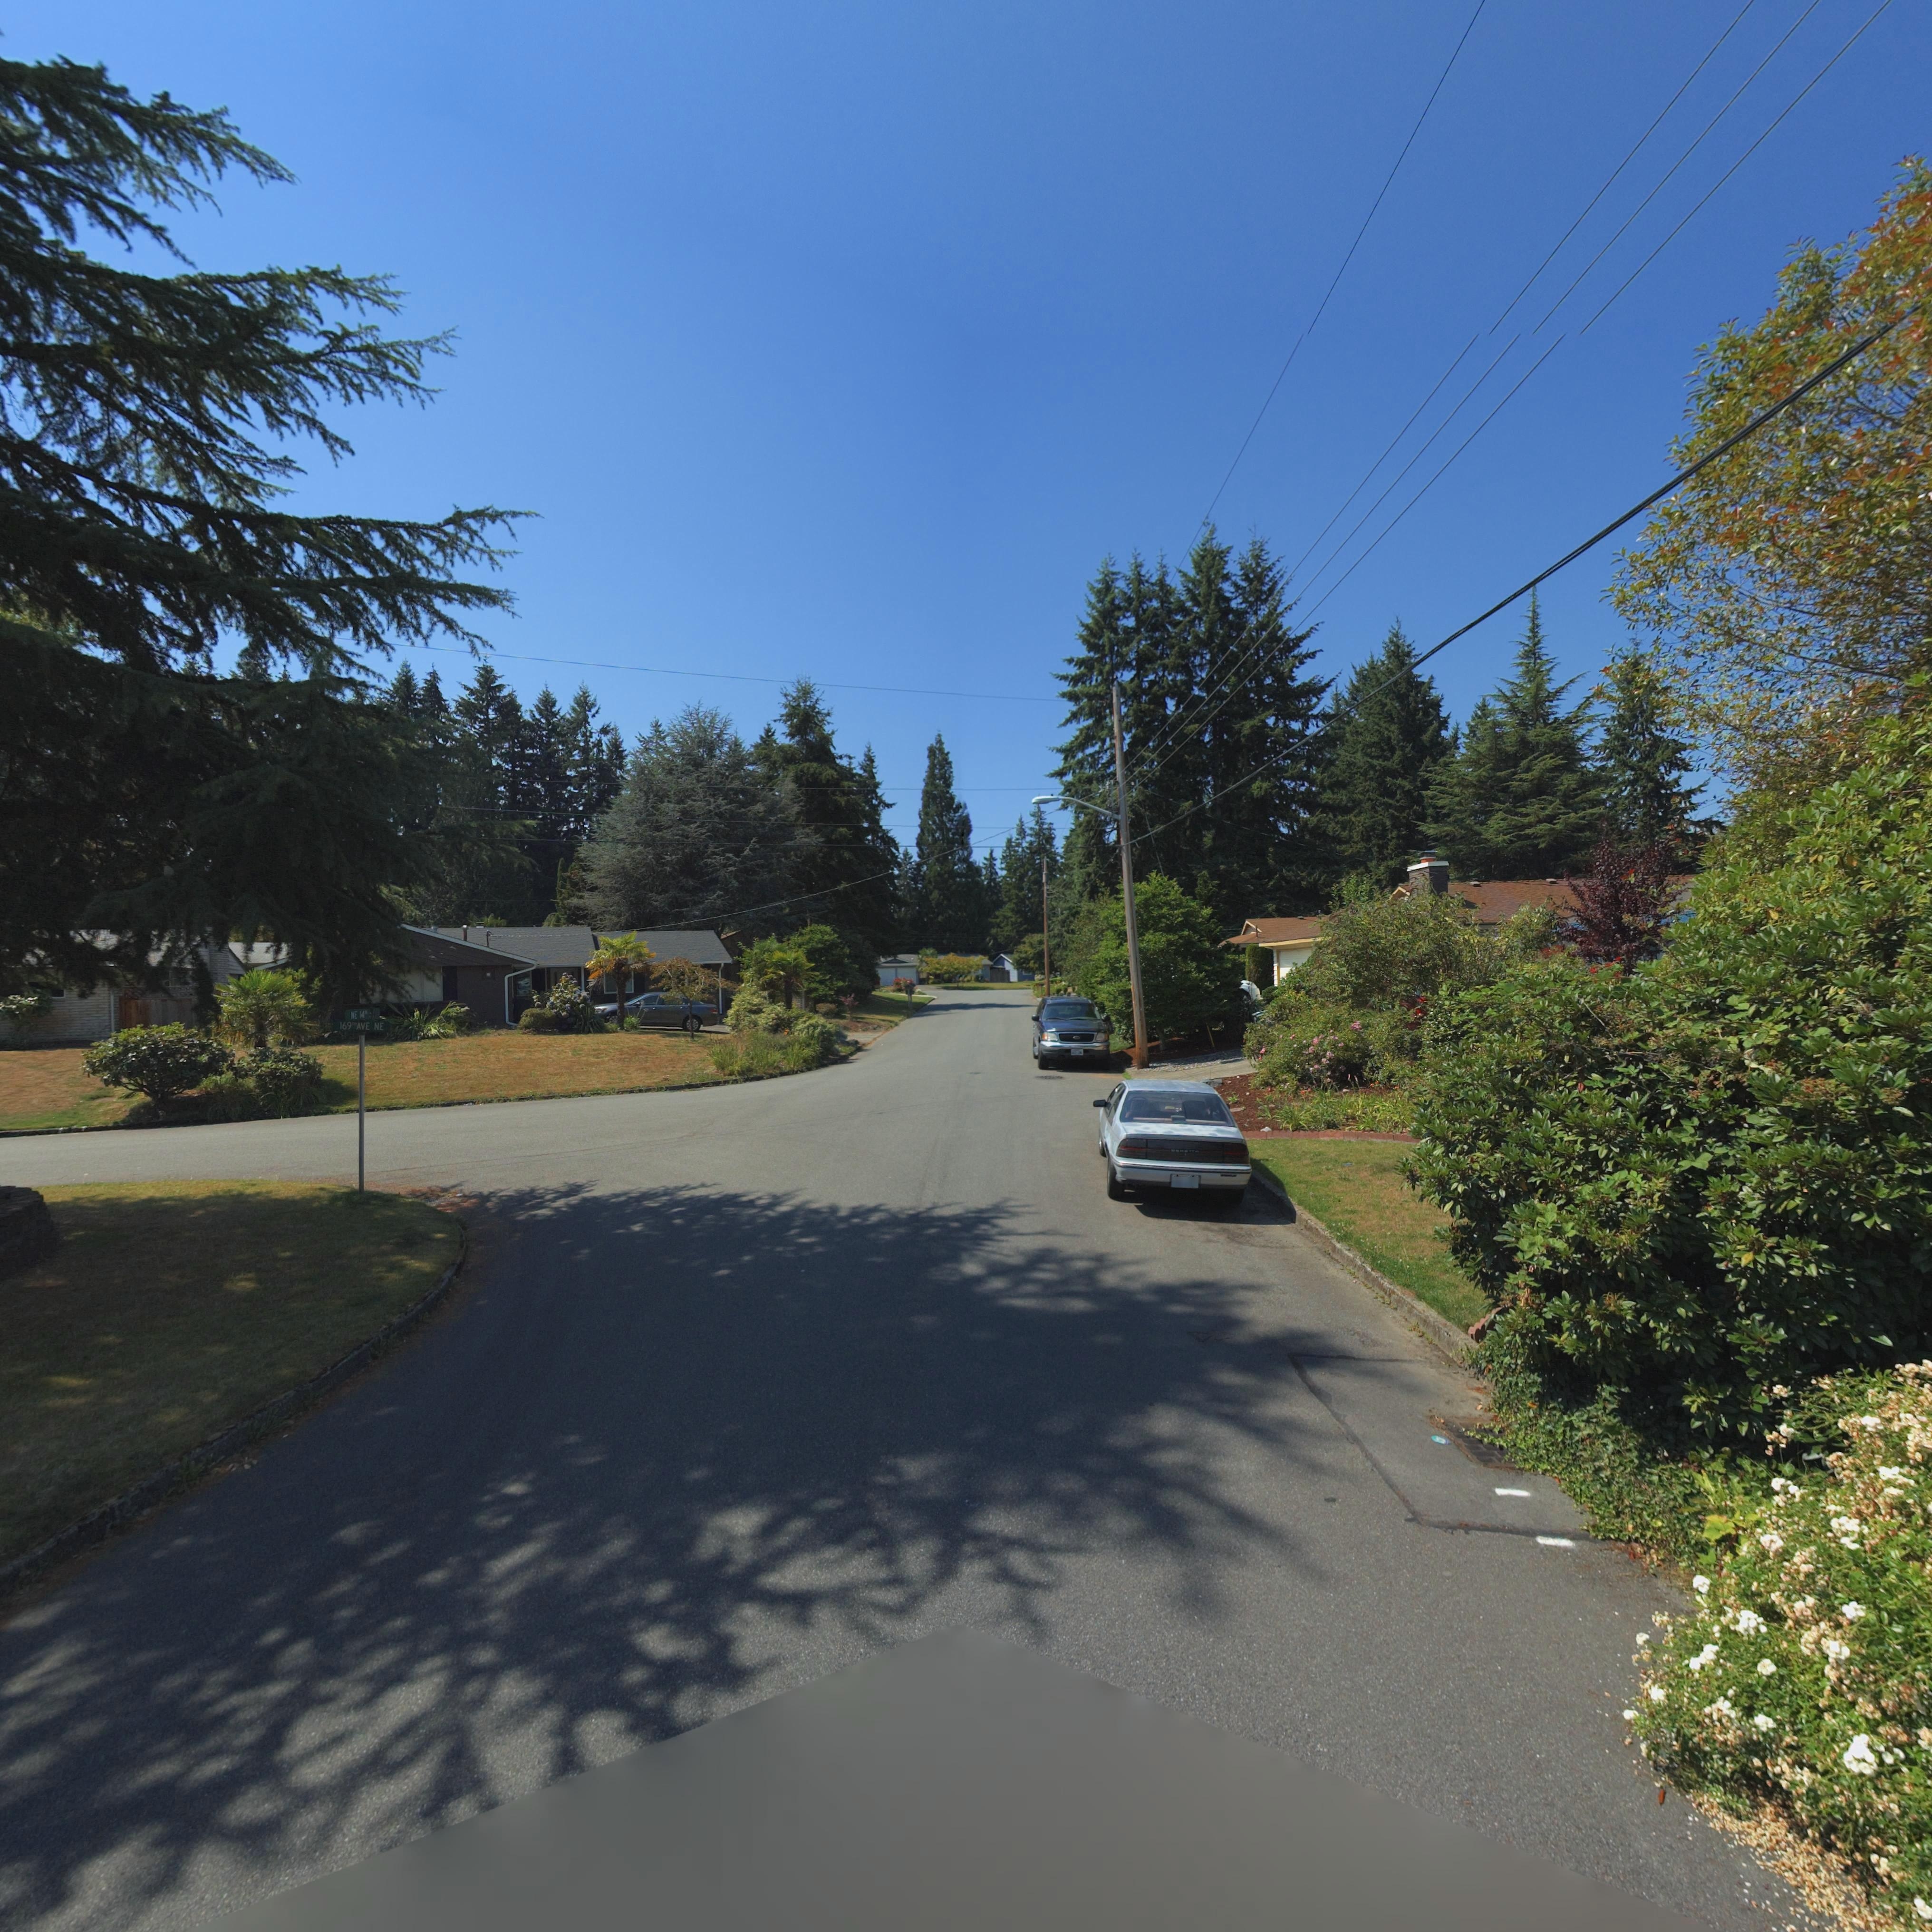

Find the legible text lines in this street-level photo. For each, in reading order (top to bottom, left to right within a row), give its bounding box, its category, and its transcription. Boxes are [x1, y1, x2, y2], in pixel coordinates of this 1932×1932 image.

[350, 1009, 366, 1020] StreetName: NE 14*
[337, 1021, 384, 1031] StreetName: 169TH AVE NE